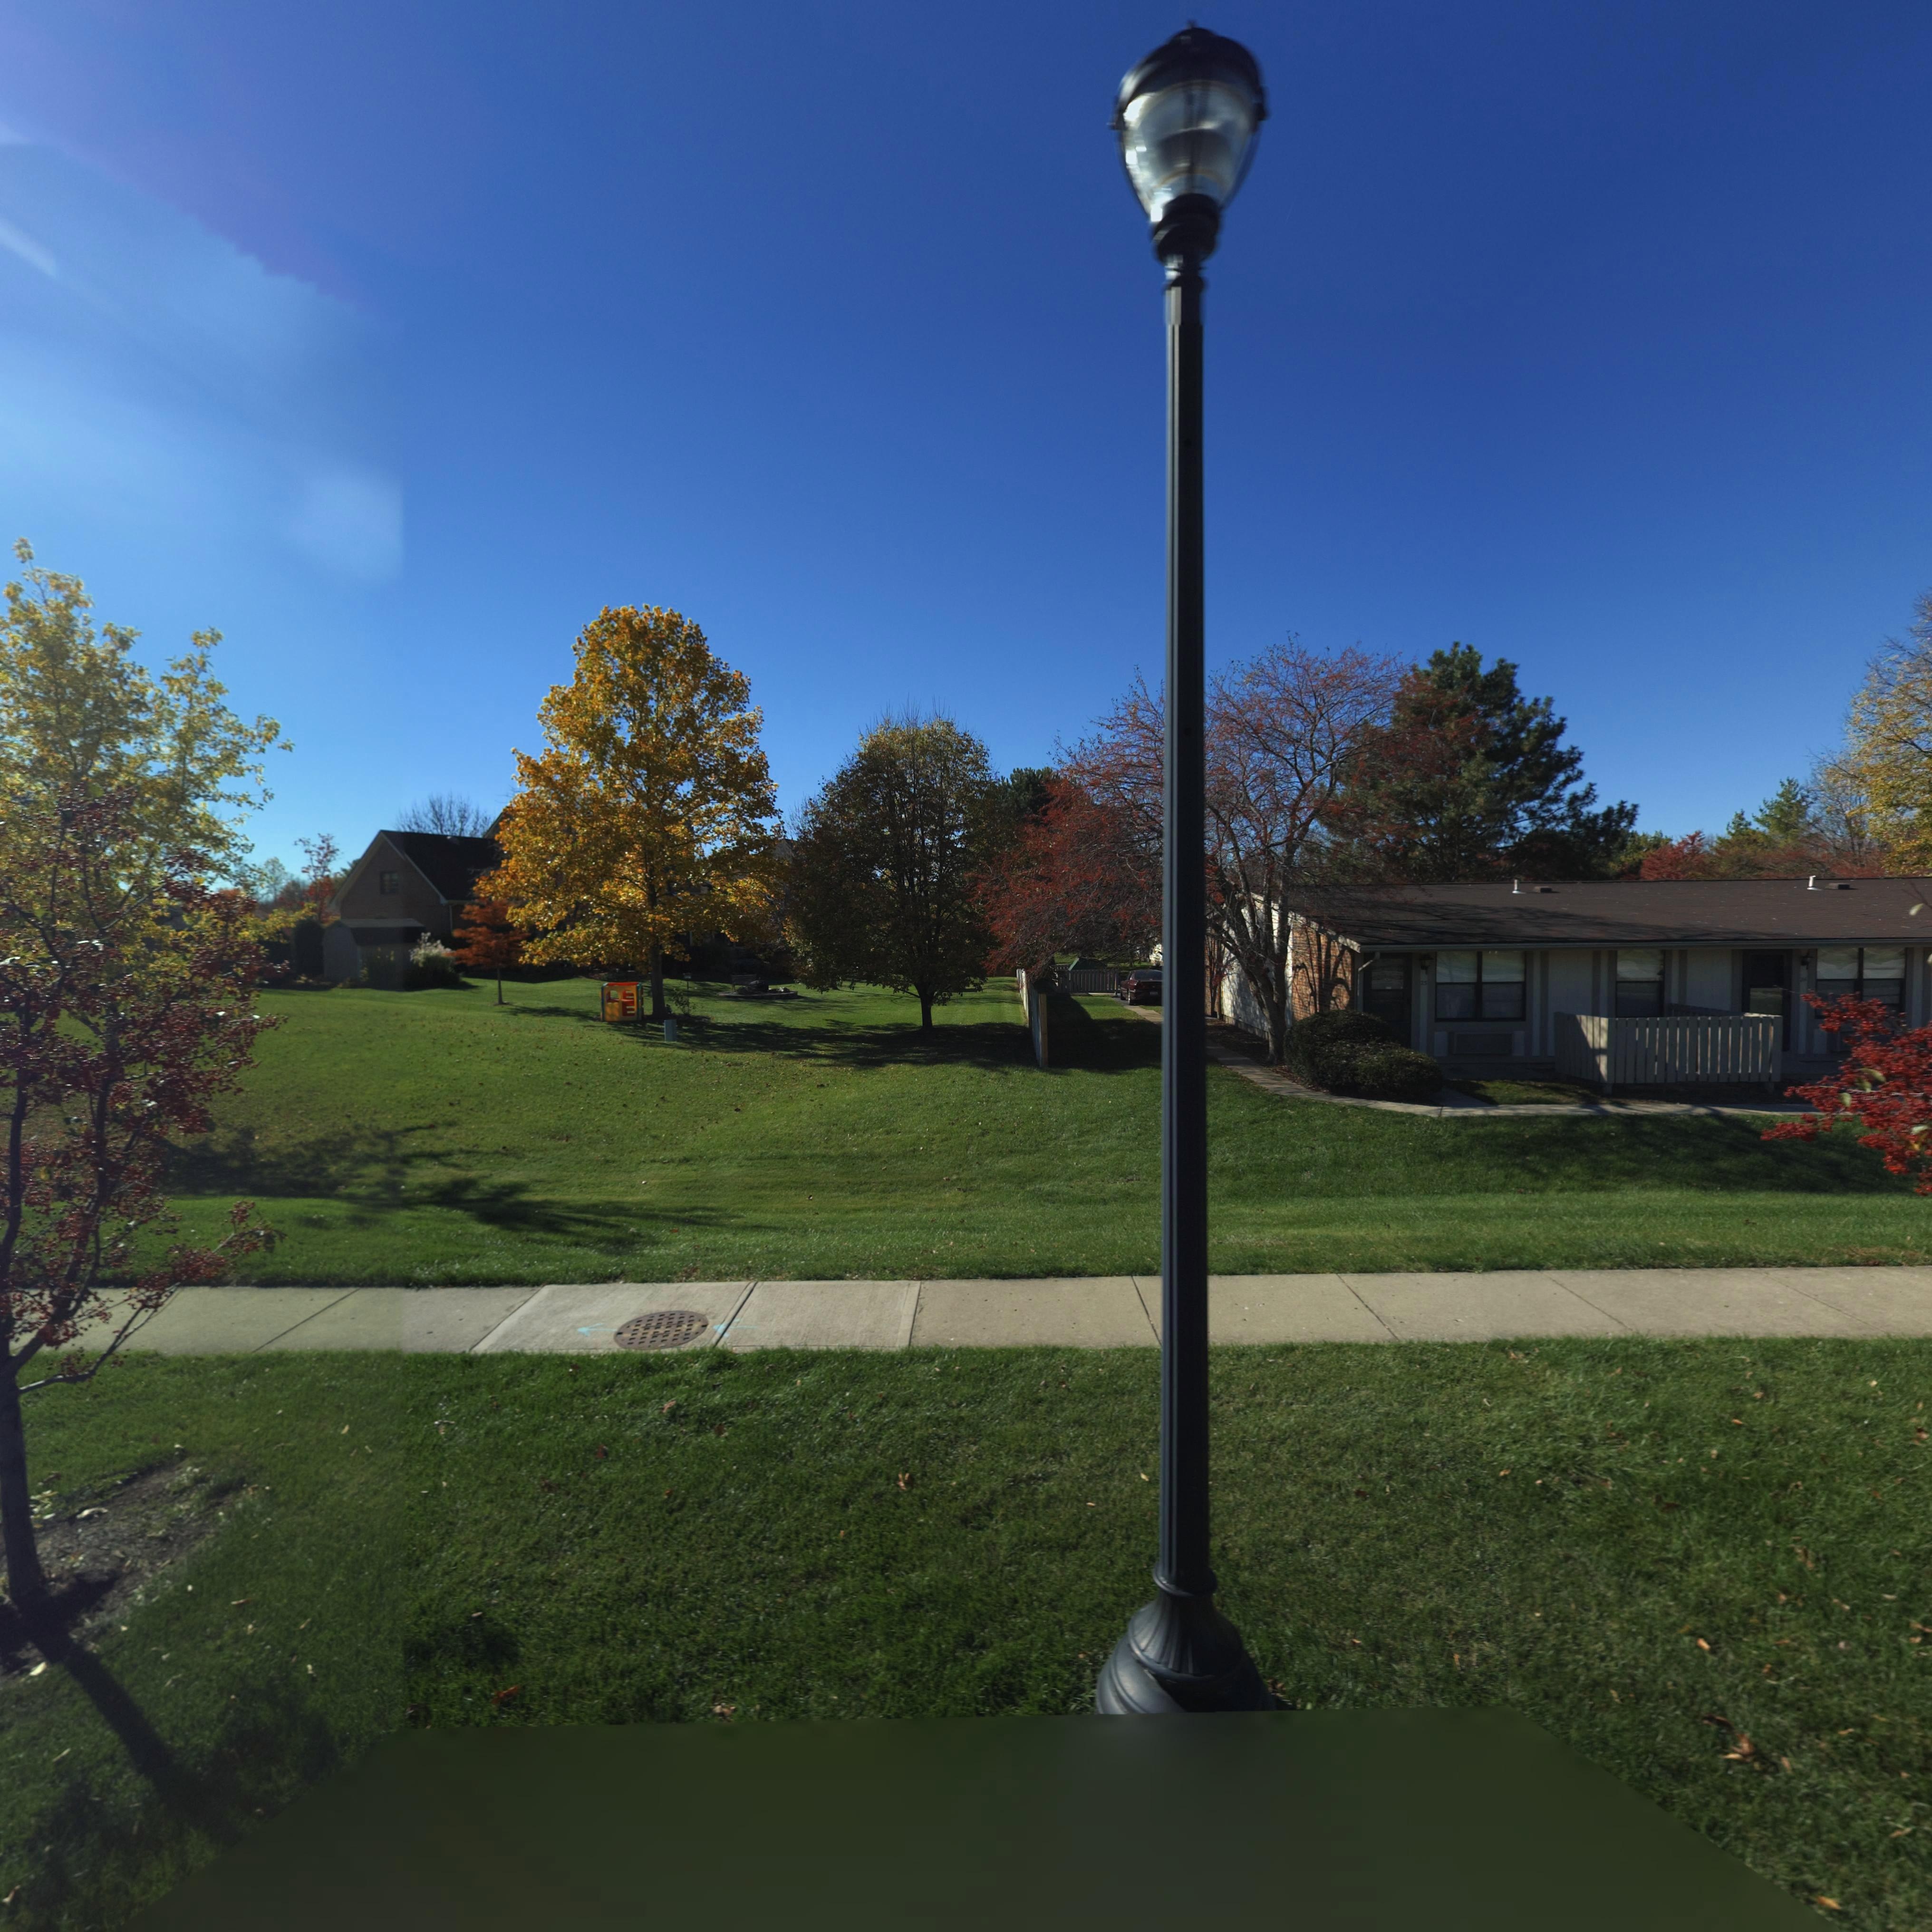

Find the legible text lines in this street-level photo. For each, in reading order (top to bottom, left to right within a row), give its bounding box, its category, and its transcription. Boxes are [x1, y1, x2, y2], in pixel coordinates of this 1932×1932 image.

[1420, 980, 1427, 986] StreetNumber: 2*